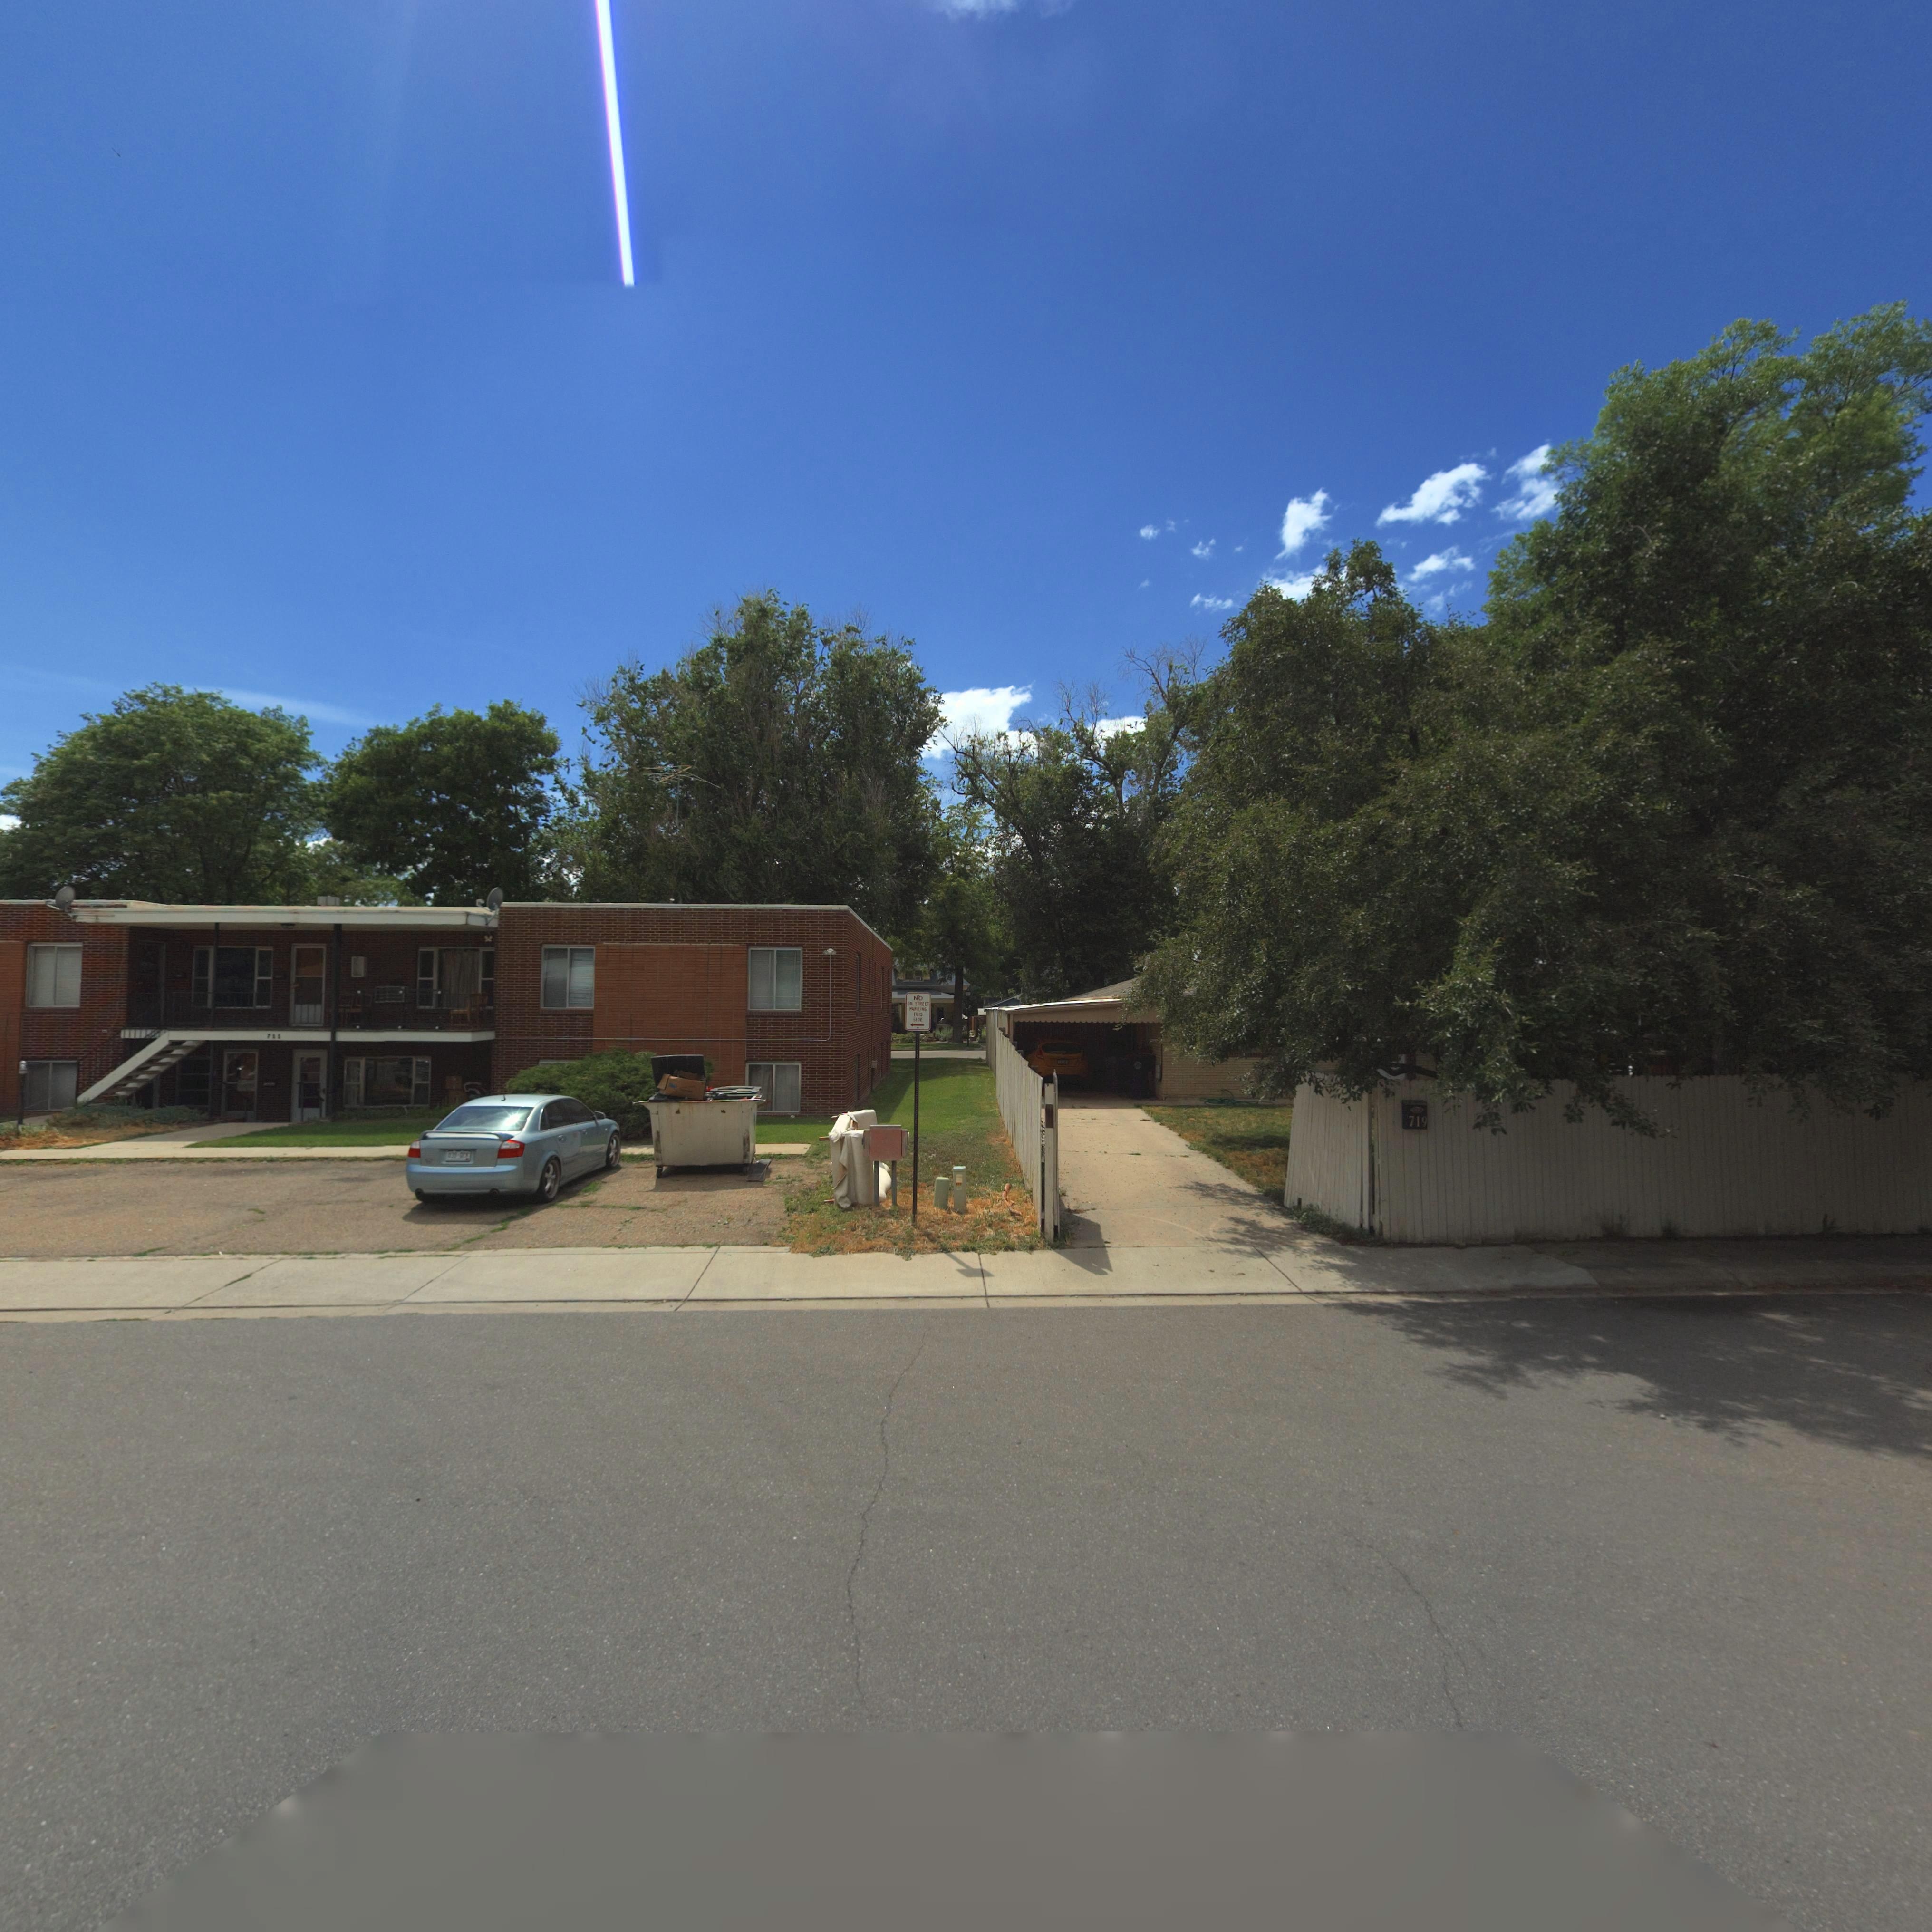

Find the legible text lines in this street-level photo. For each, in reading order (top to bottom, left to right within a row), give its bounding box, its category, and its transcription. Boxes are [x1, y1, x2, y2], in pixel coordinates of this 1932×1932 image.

[266, 1033, 280, 1039] StreetNumber: 711
[1407, 1115, 1429, 1128] StreetNumber: 719